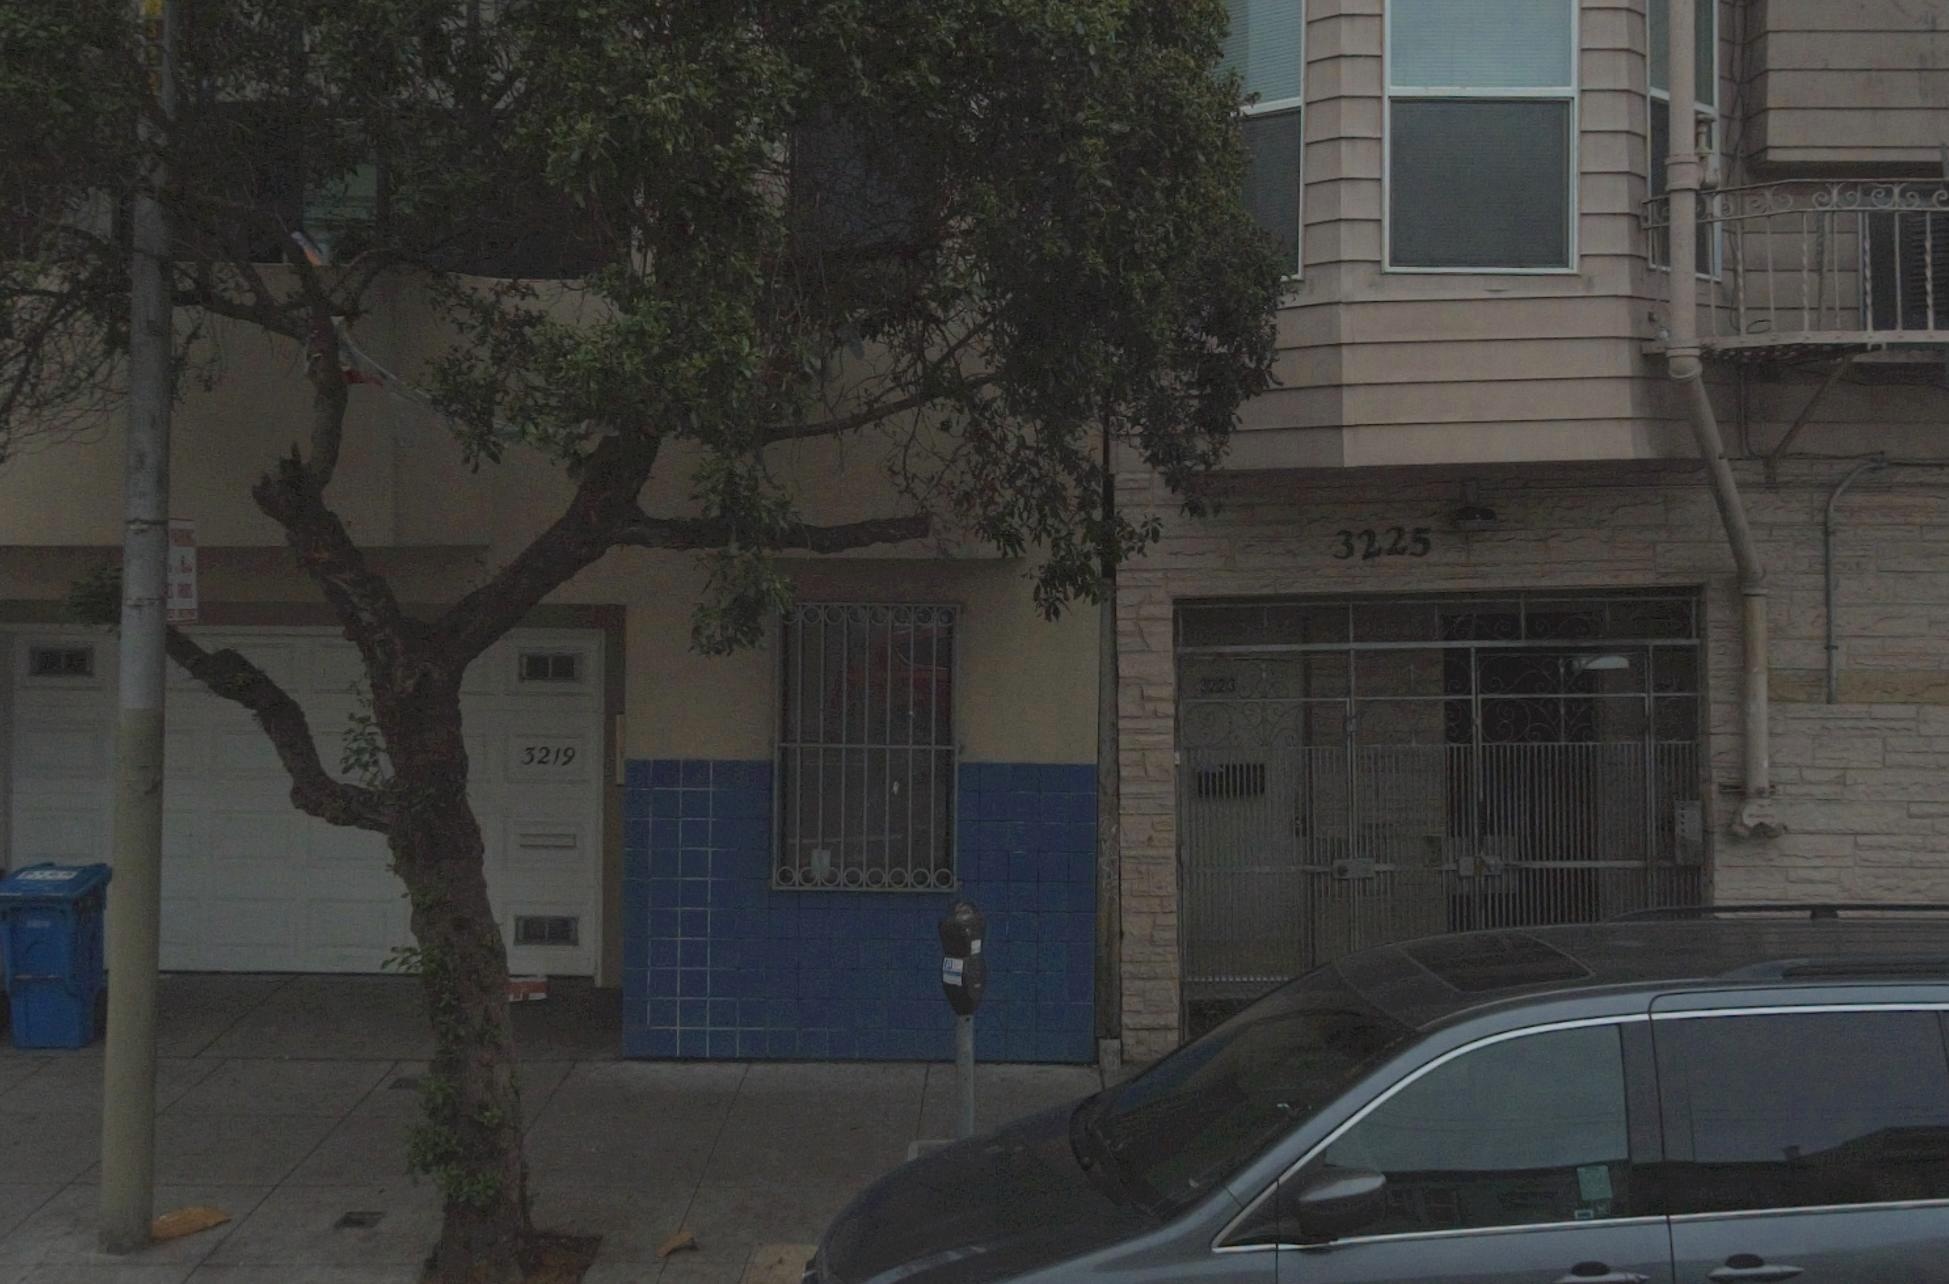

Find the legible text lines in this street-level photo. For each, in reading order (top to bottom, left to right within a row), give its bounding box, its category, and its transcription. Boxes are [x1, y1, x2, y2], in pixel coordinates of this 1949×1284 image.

[1330, 523, 1433, 562] StreetNumber: 3225
[1199, 676, 1237, 695] StreetNumber: *223
[521, 745, 577, 768] StreetNumber: 3219